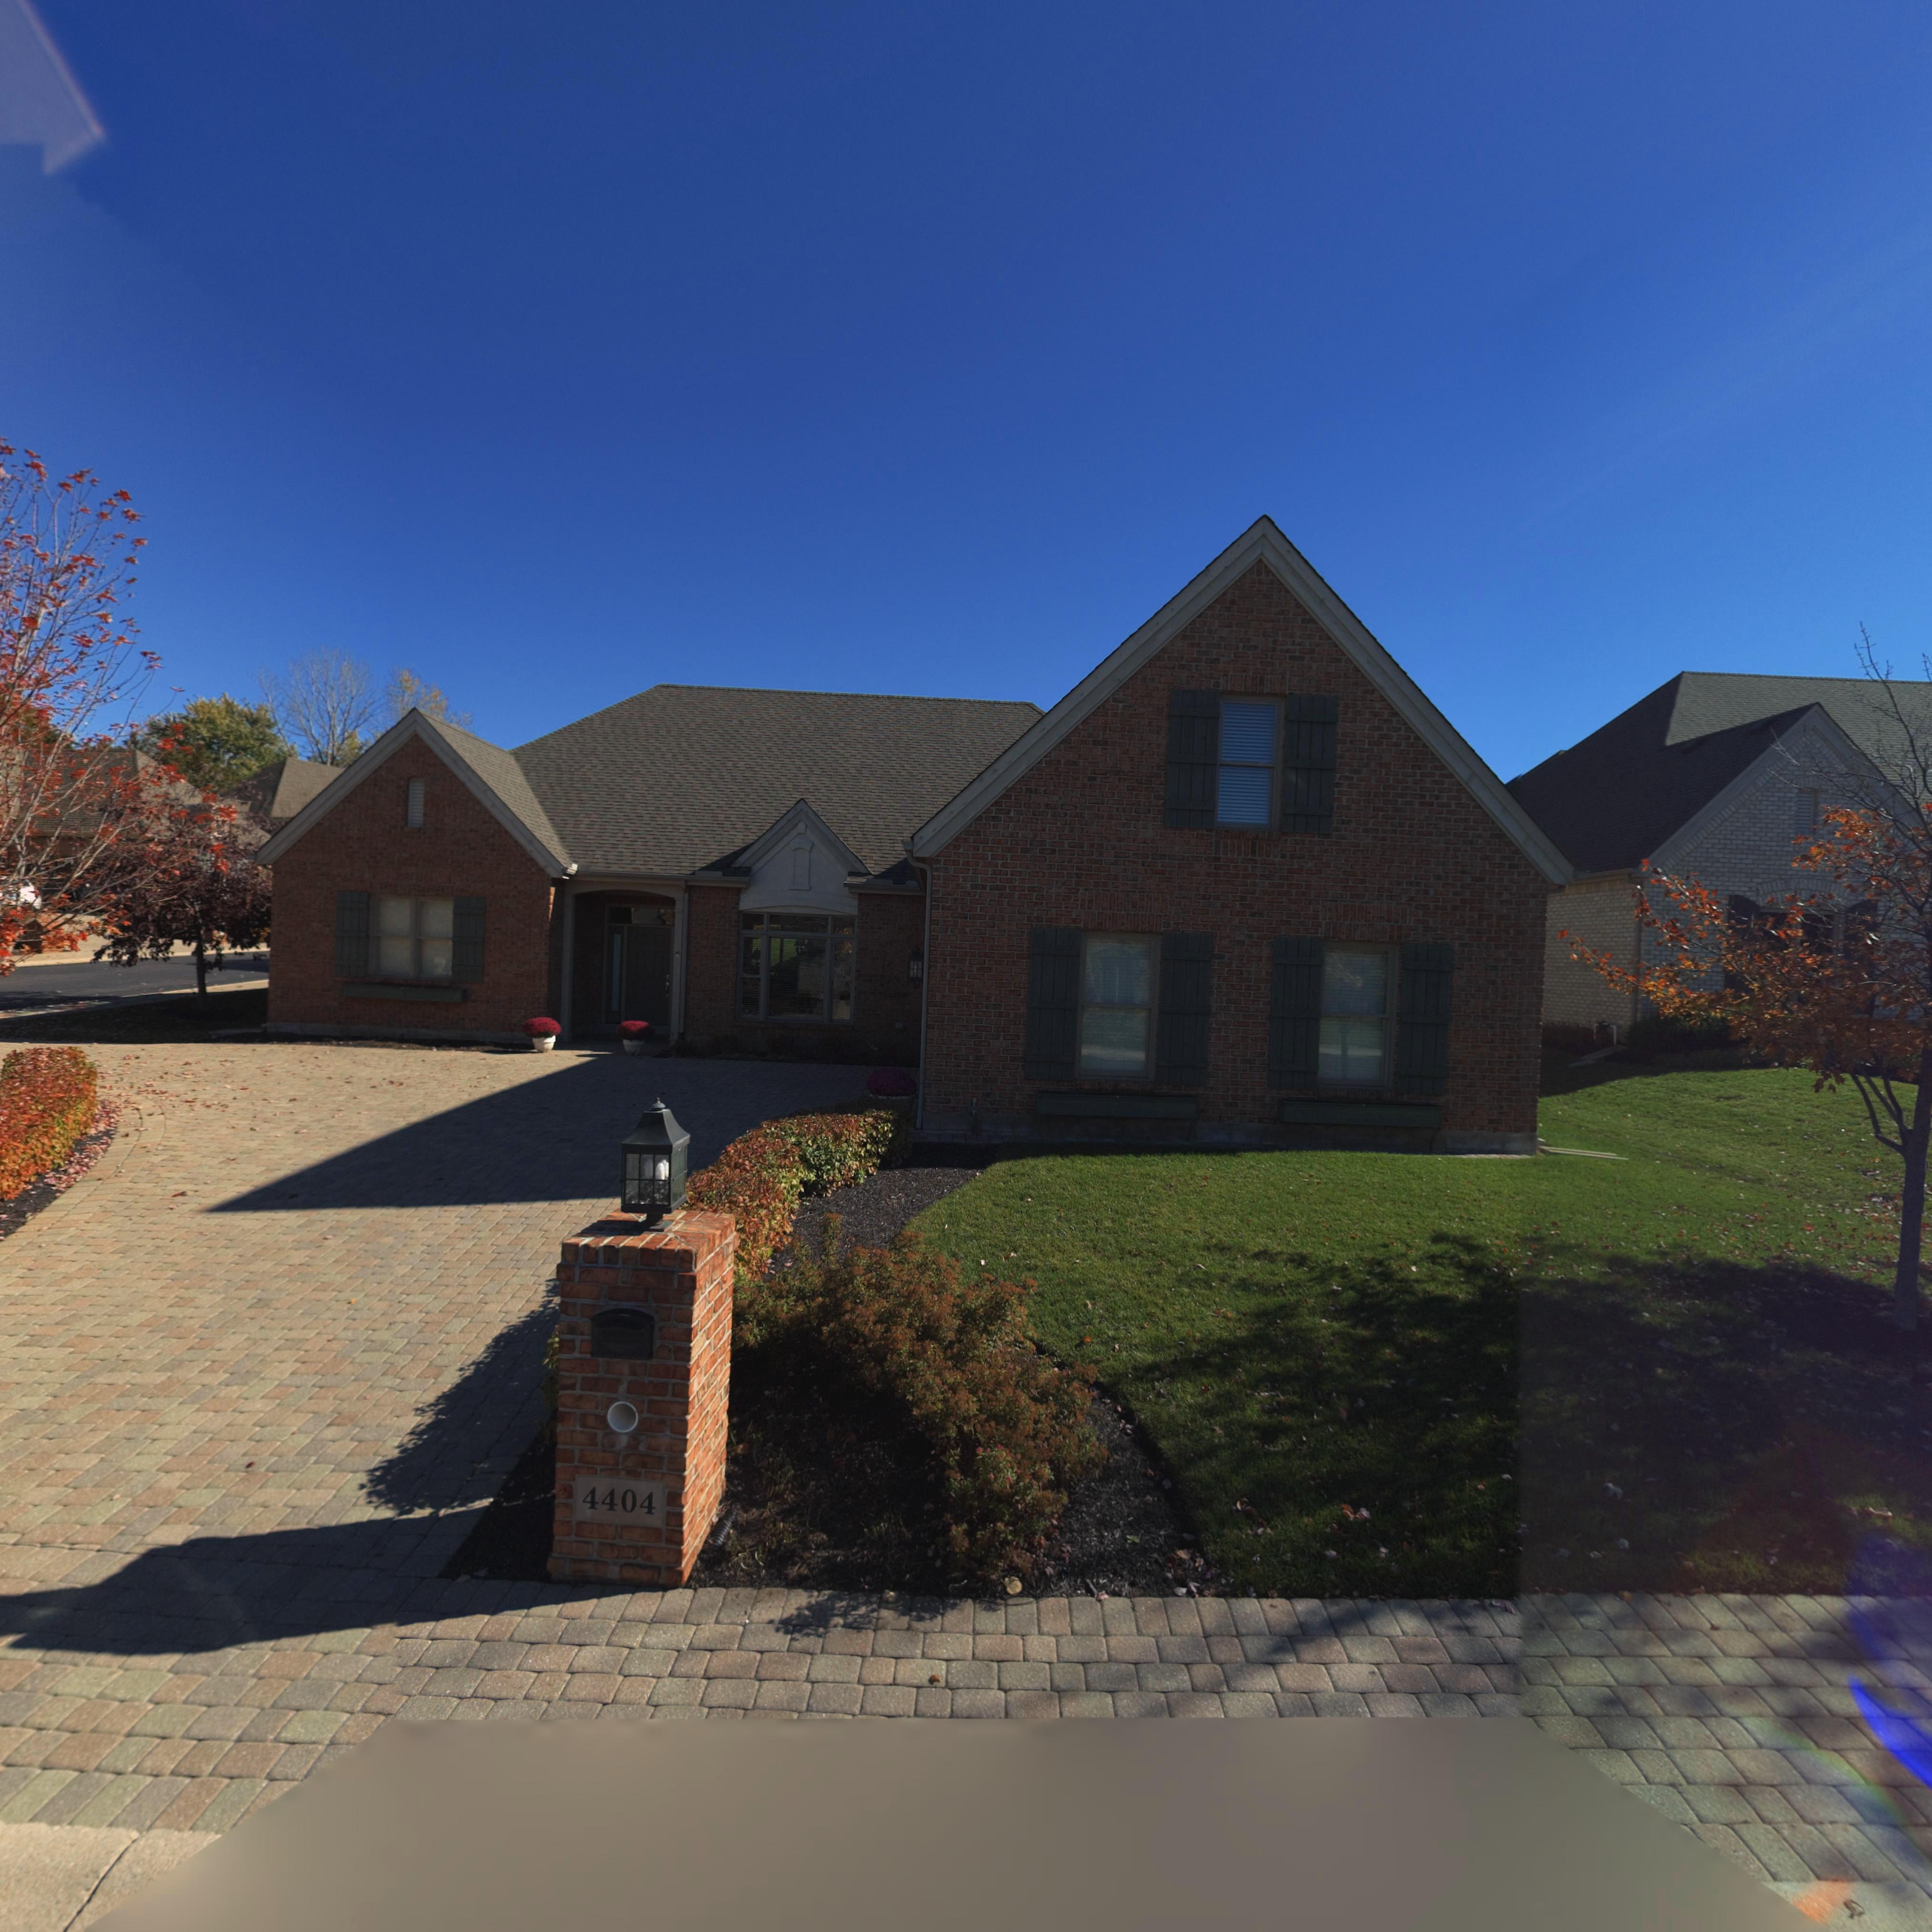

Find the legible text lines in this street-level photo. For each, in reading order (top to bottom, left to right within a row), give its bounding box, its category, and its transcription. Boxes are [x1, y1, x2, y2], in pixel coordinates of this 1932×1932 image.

[580, 1483, 658, 1517] StreetNumber: 4404